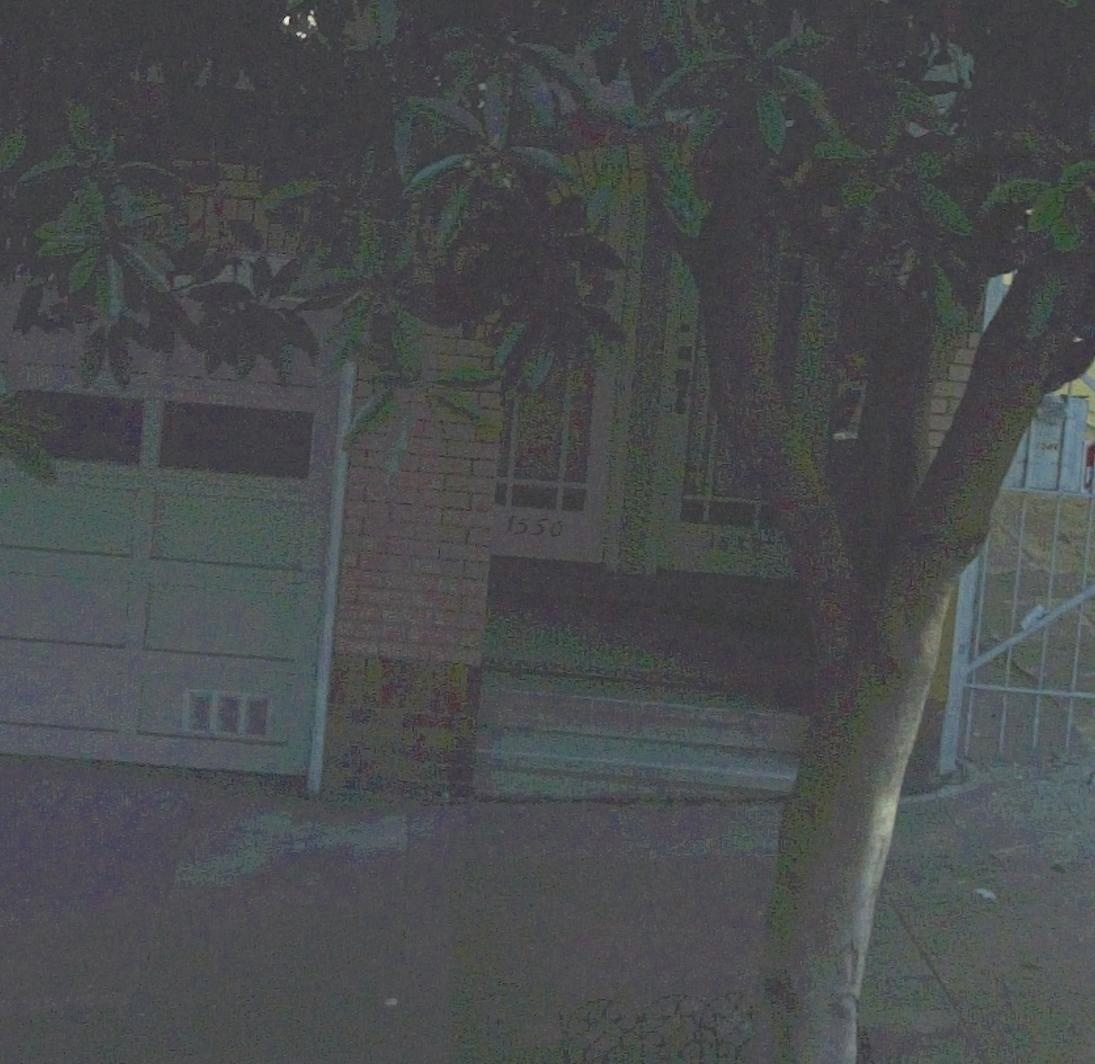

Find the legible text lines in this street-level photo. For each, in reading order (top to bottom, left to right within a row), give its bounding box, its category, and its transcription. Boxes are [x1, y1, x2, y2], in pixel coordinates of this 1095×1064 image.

[504, 511, 568, 540] StreetNumber: 1550
[706, 530, 768, 556] StreetNumber: 1548